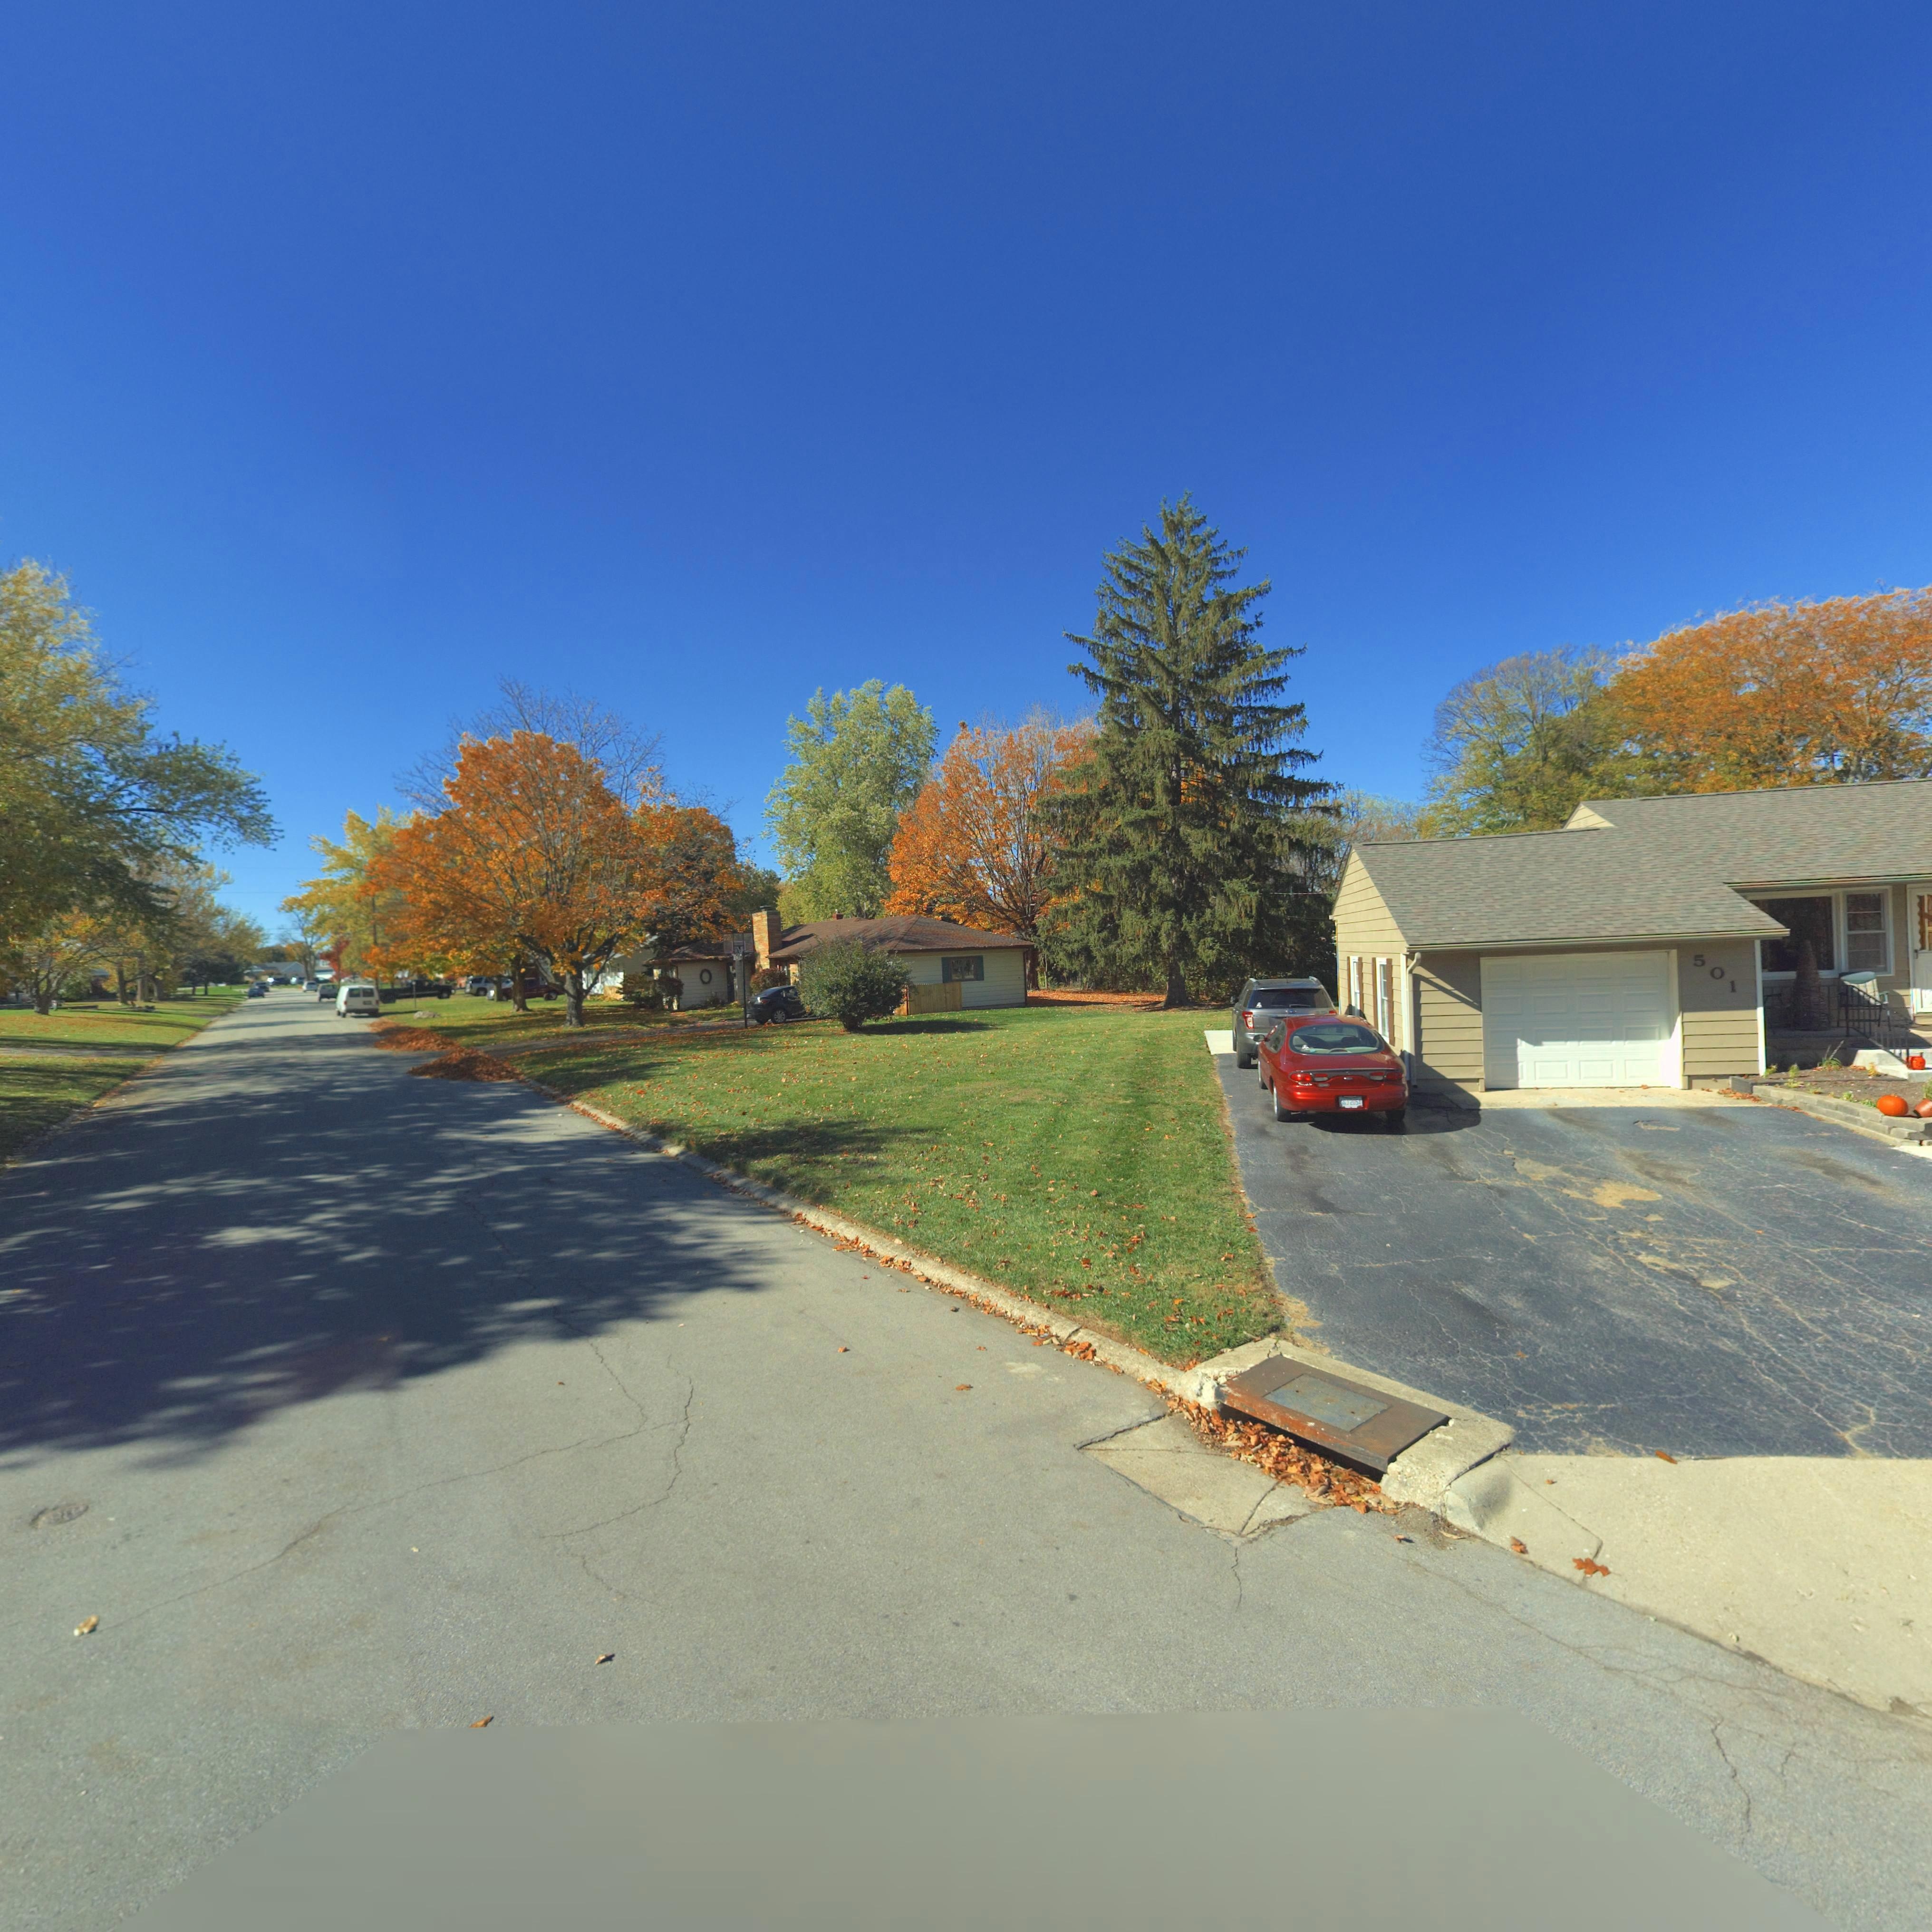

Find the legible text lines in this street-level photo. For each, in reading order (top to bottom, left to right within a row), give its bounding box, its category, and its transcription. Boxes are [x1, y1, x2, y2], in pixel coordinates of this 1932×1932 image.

[1693, 954, 1738, 994] StreetNumber: 50`